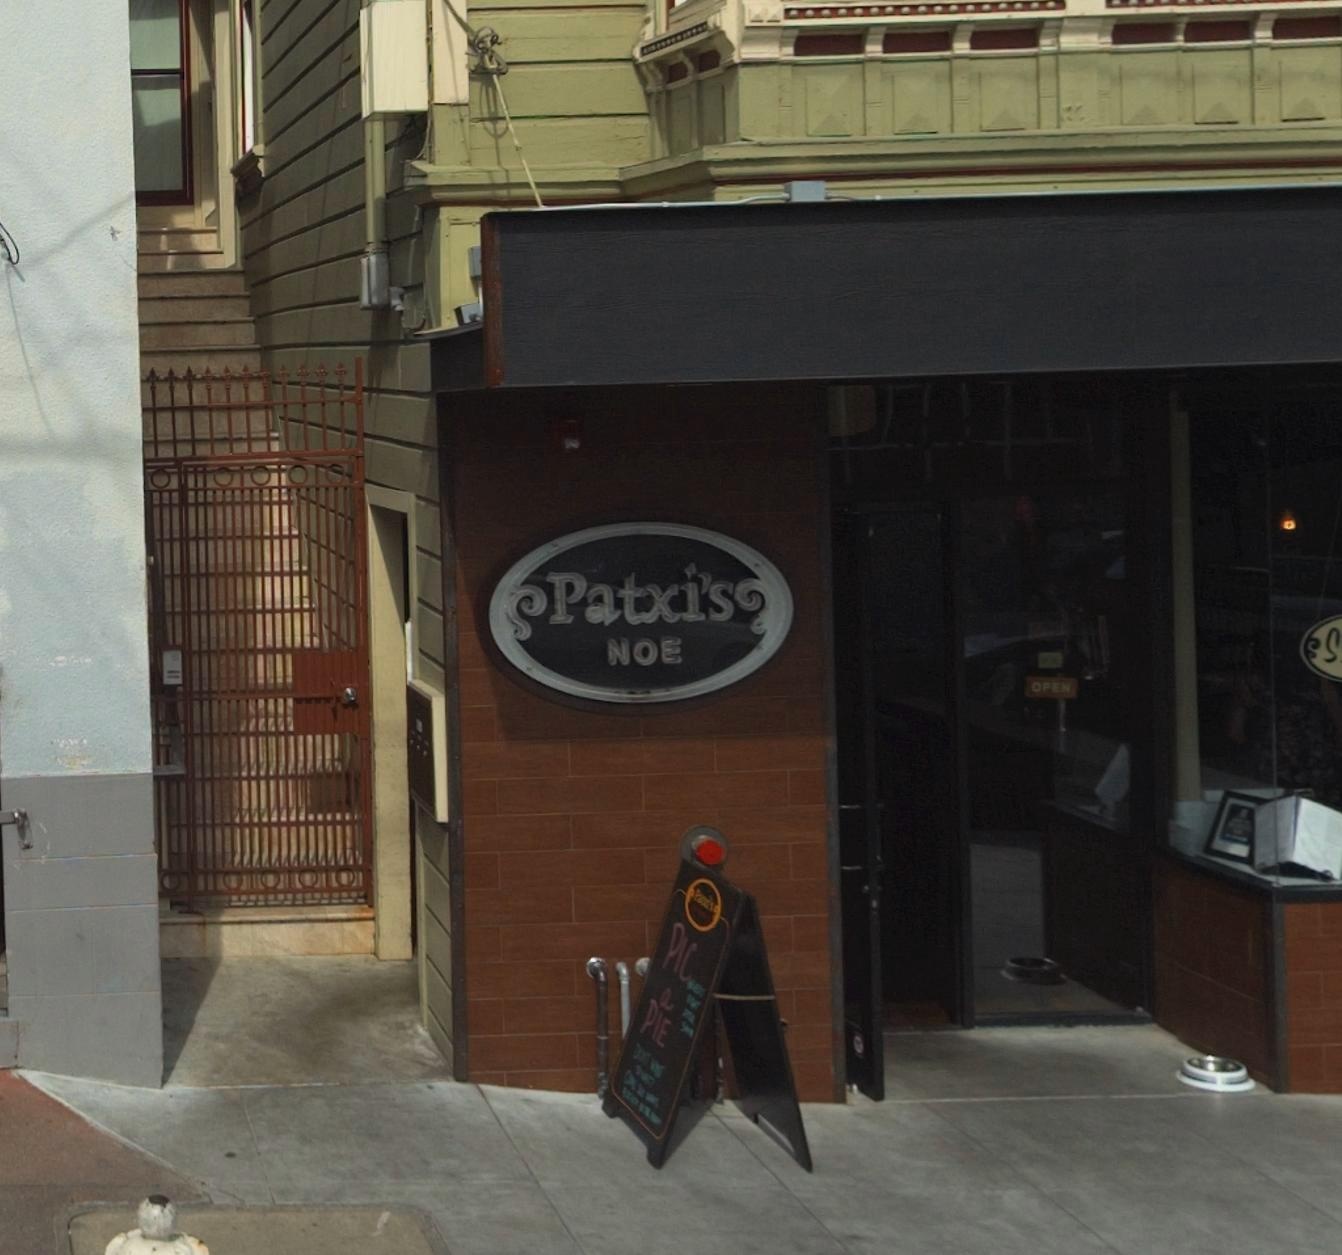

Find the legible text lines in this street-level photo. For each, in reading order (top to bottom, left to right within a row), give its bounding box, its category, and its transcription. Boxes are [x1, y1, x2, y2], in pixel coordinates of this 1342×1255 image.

[544, 563, 734, 628] BusinessName: Patxi's
[605, 635, 684, 666] BusinessName: NOE
[1322, 627, 1340, 664] None: S
[1030, 680, 1072, 695] None: OPEN
[660, 921, 700, 987] None: PIC
[658, 985, 675, 1013] None: a
[638, 996, 673, 1051] None: PIE